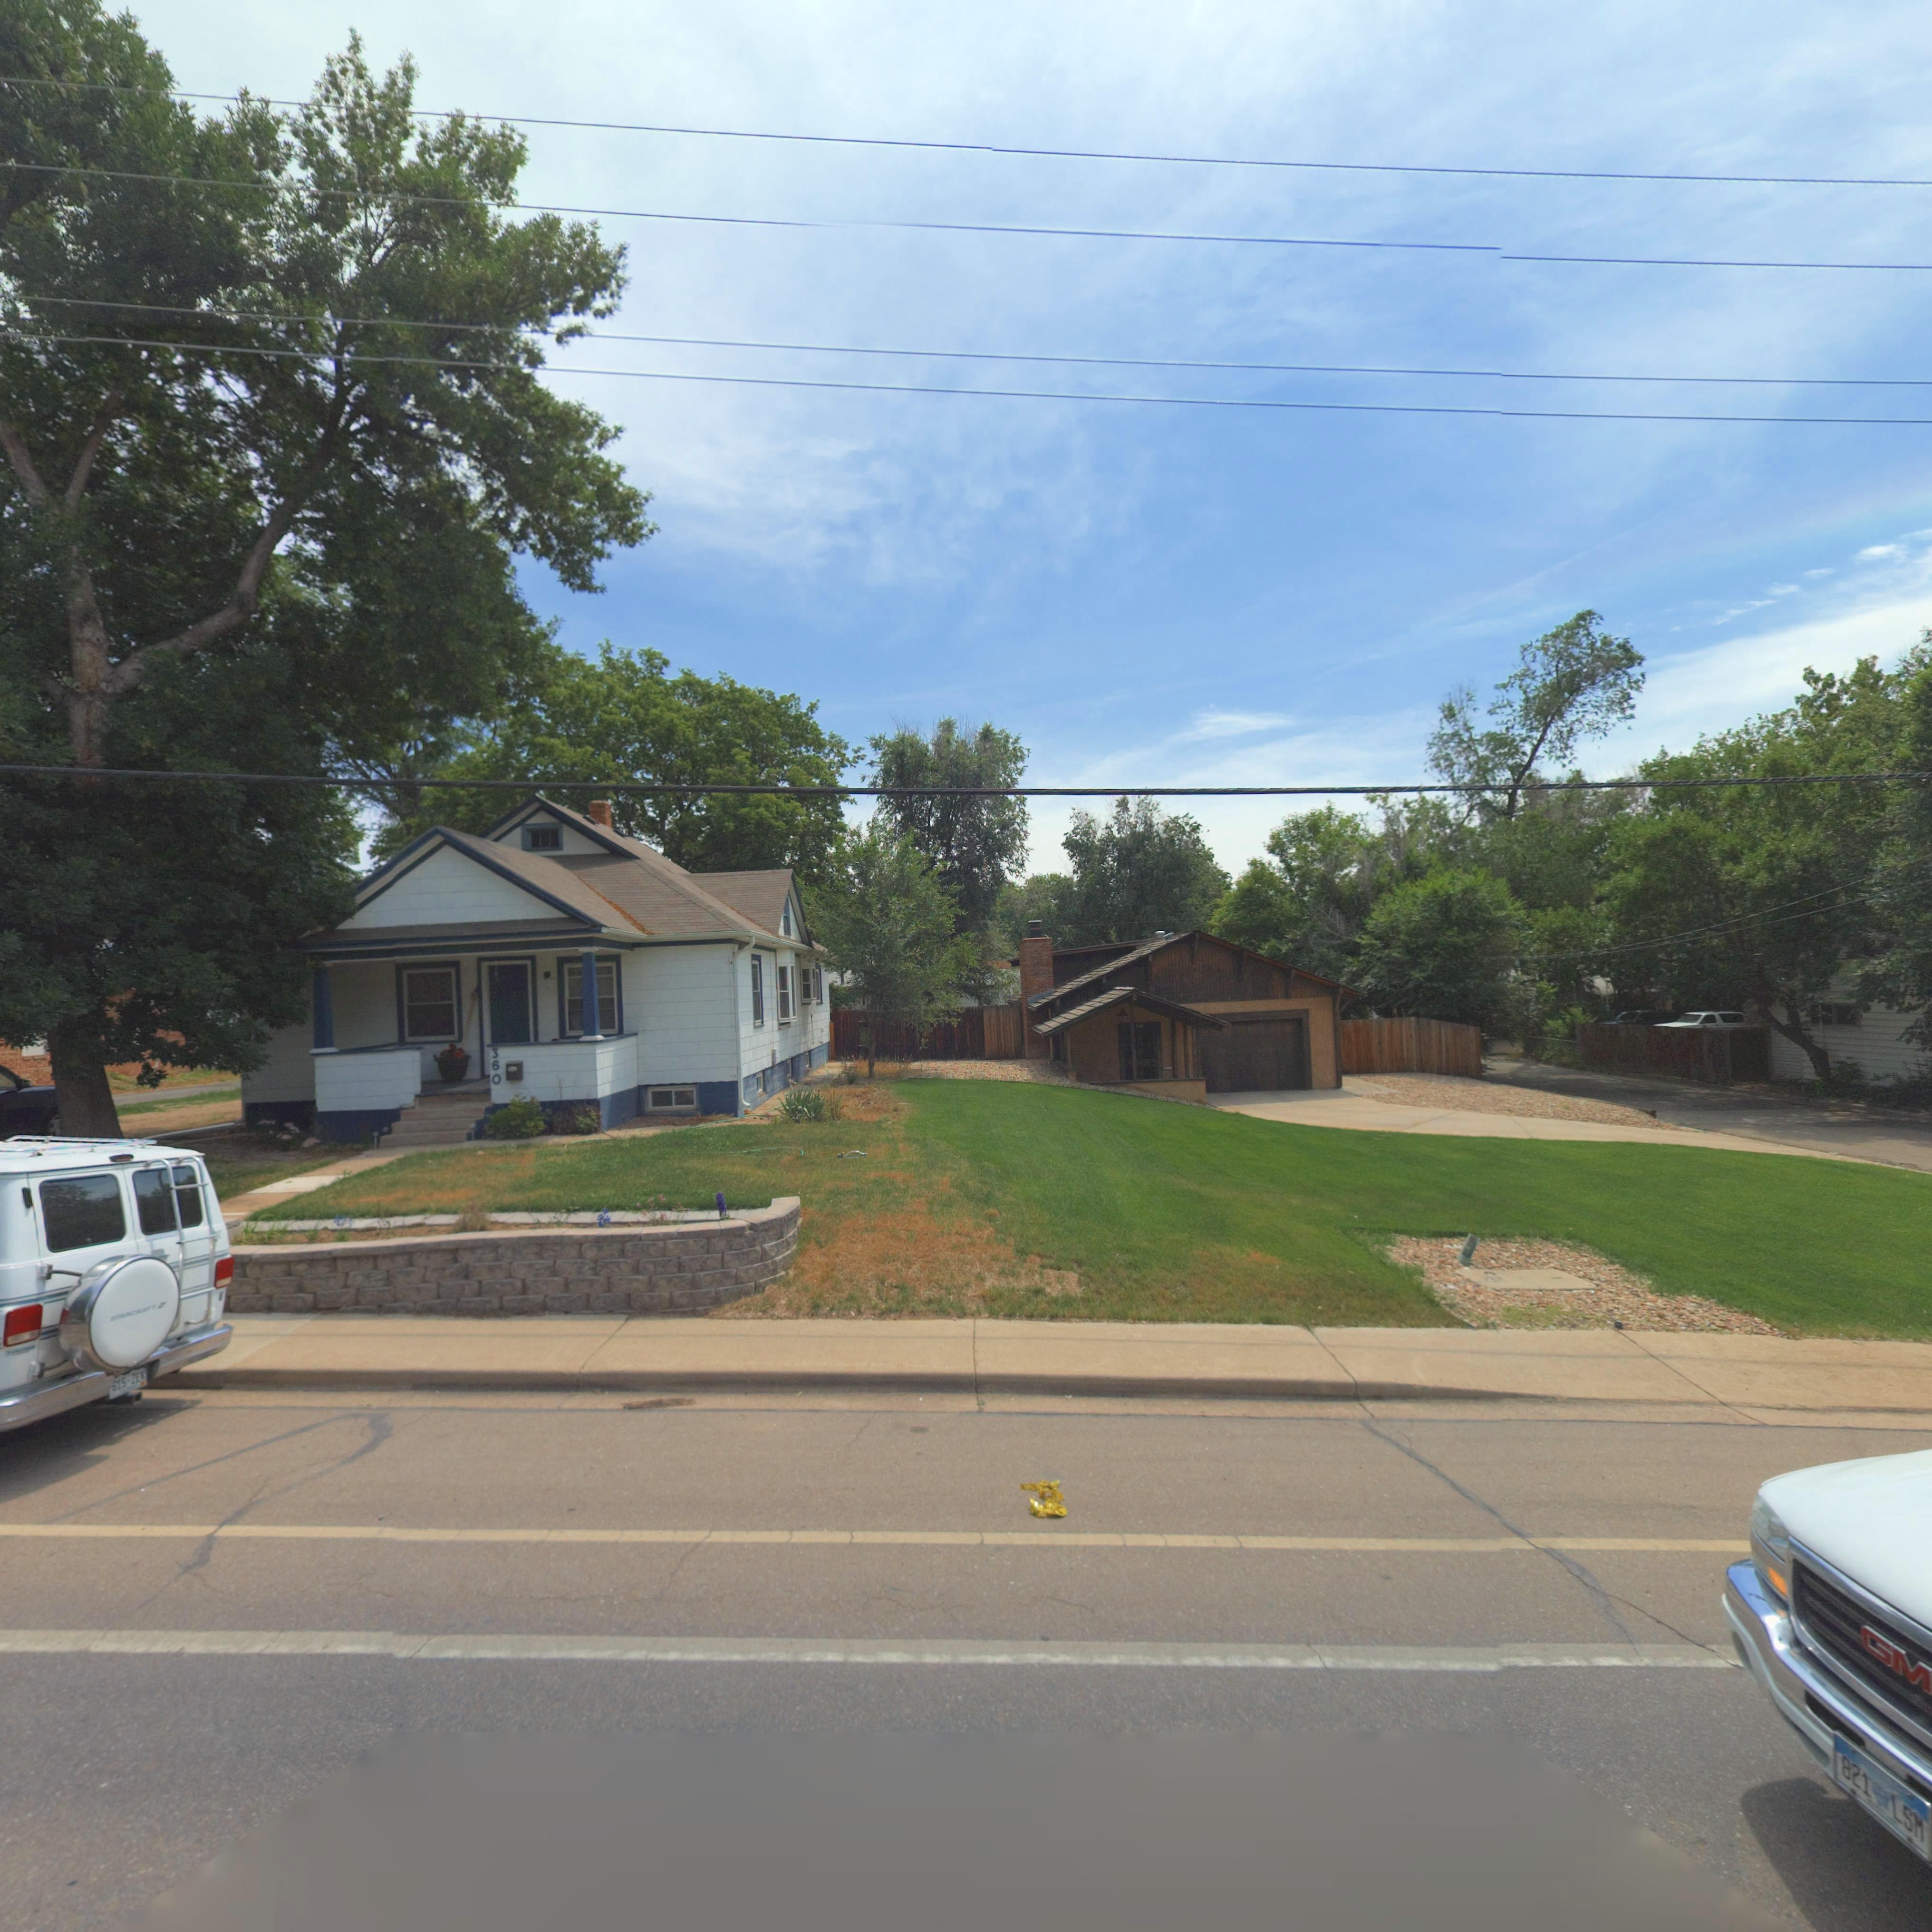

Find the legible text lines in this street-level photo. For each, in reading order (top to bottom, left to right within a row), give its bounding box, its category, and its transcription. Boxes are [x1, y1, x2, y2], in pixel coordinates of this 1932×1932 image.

[490, 1046, 502, 1086] StreetNumber: 360